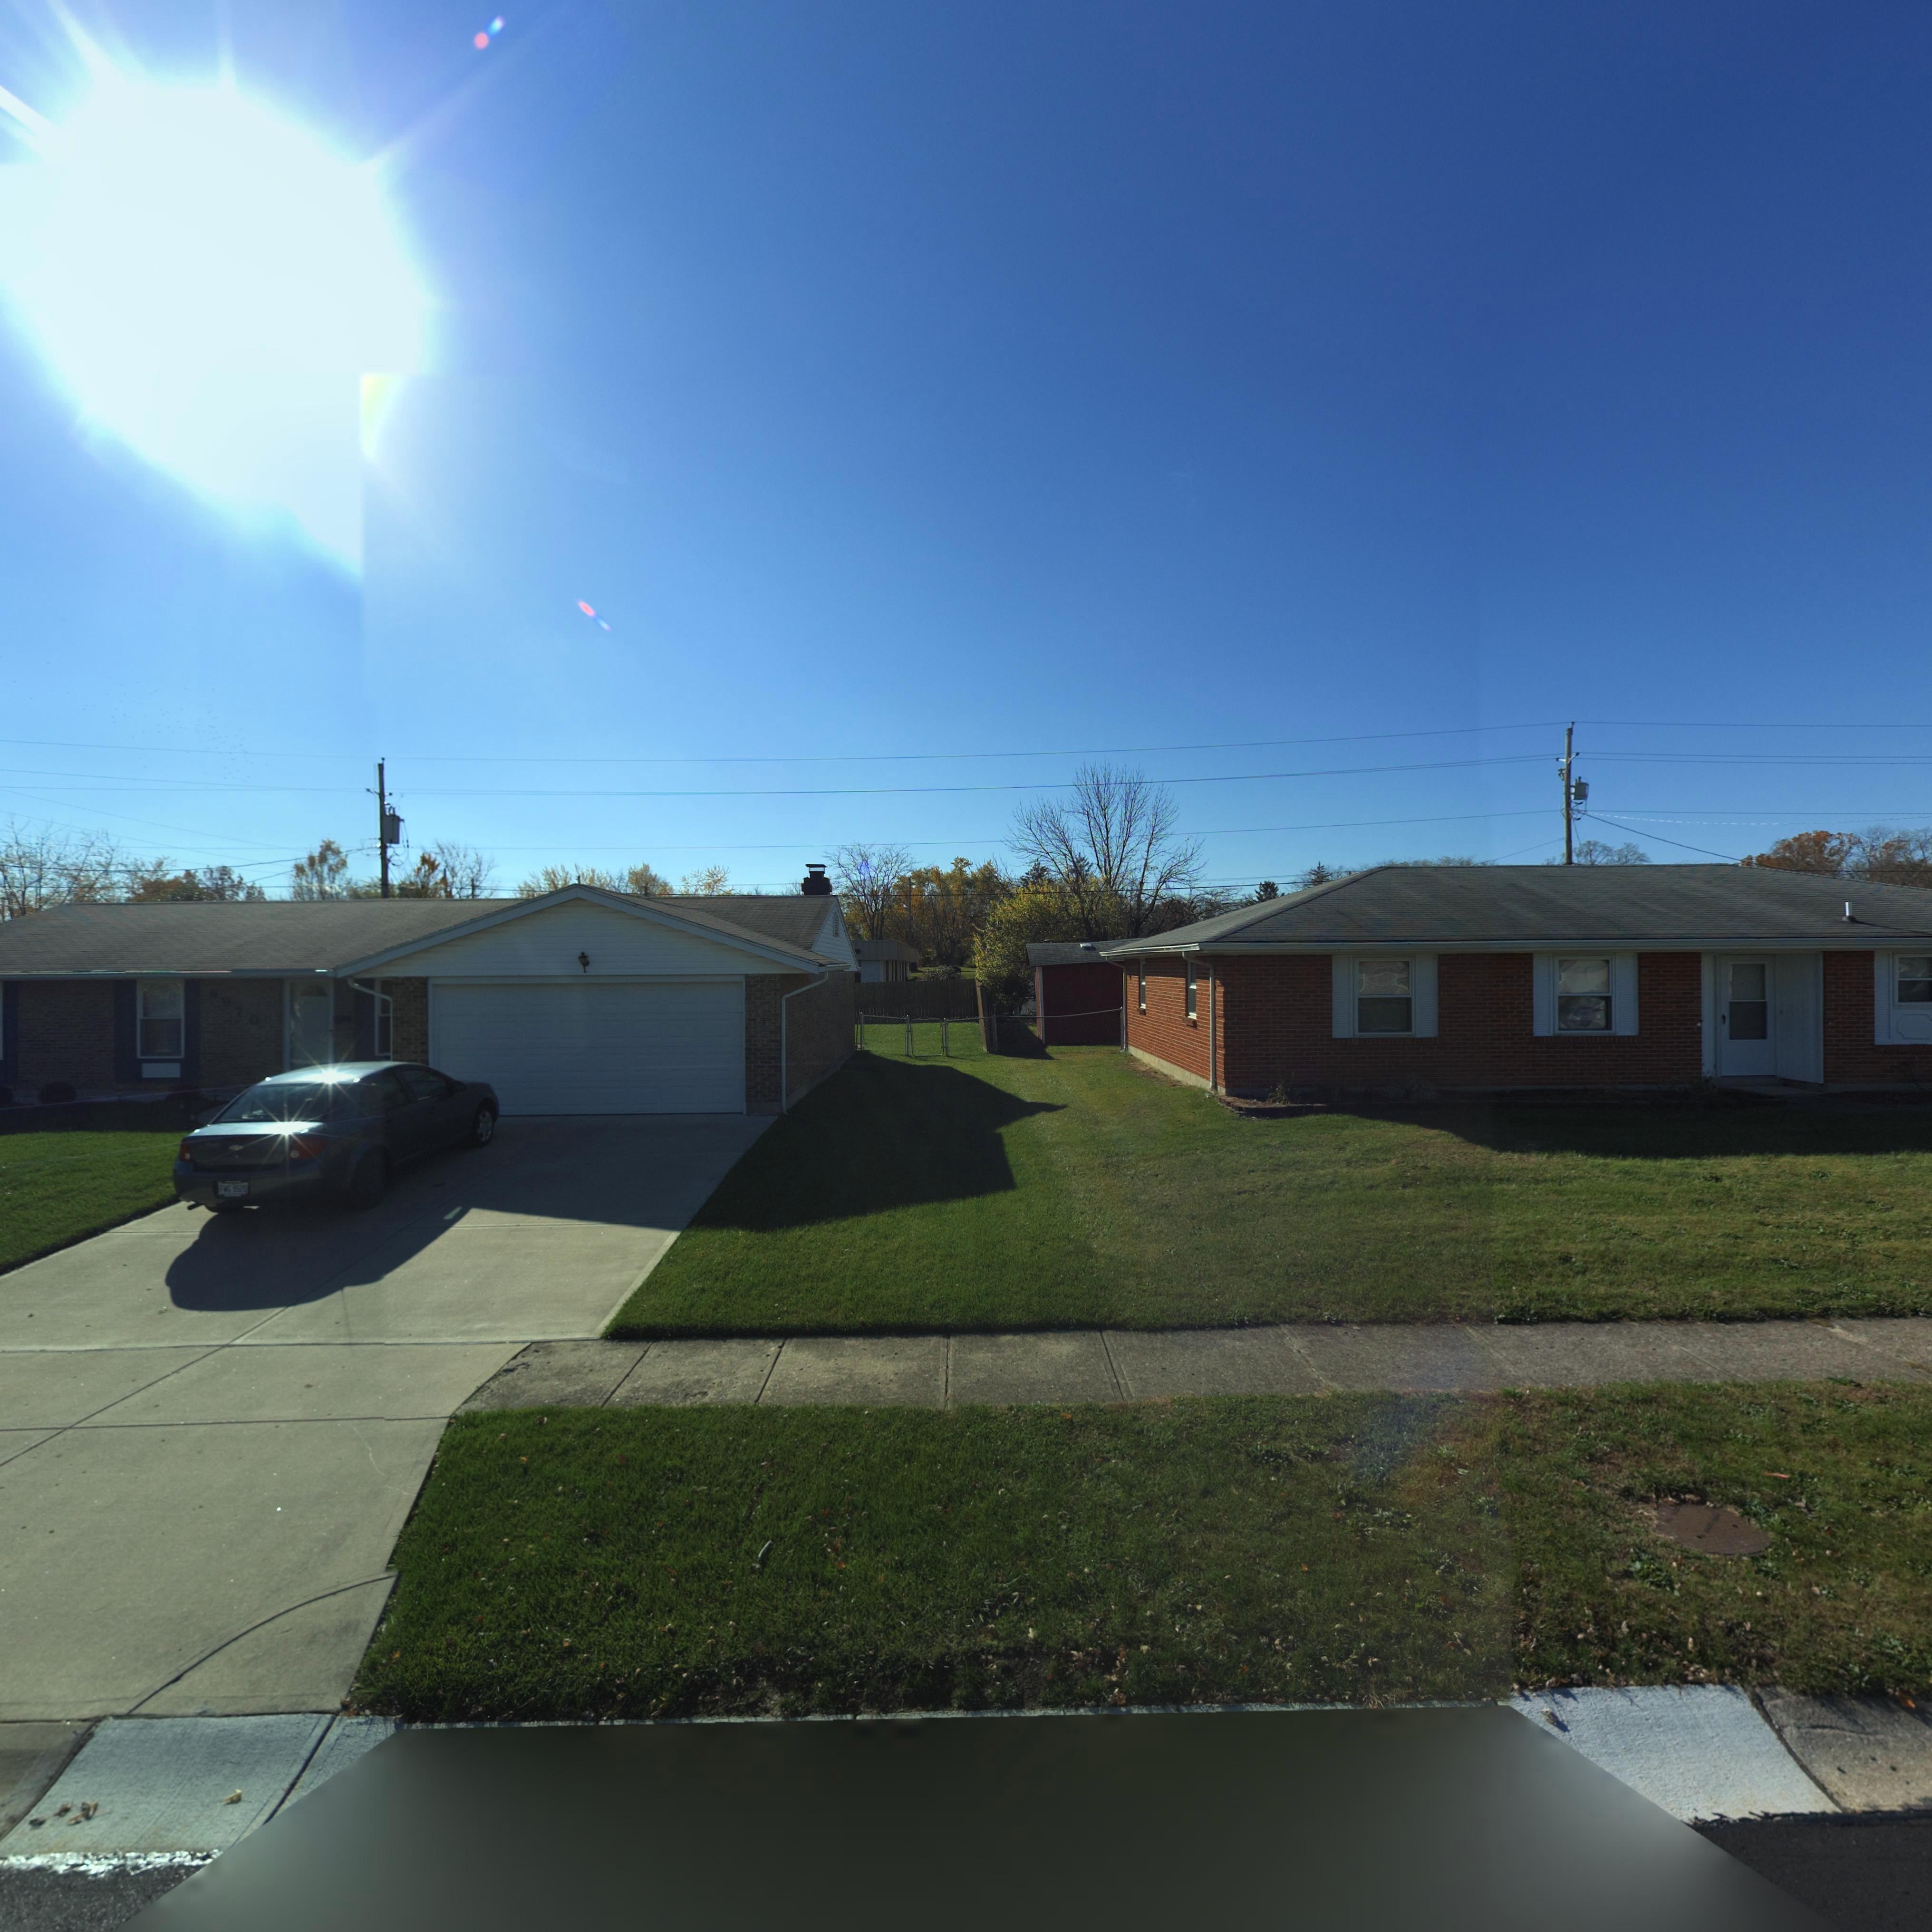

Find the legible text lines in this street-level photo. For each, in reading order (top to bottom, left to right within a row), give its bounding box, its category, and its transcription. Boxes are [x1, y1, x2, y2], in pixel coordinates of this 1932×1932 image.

[209, 987, 260, 1026] StreetNumber: 6970